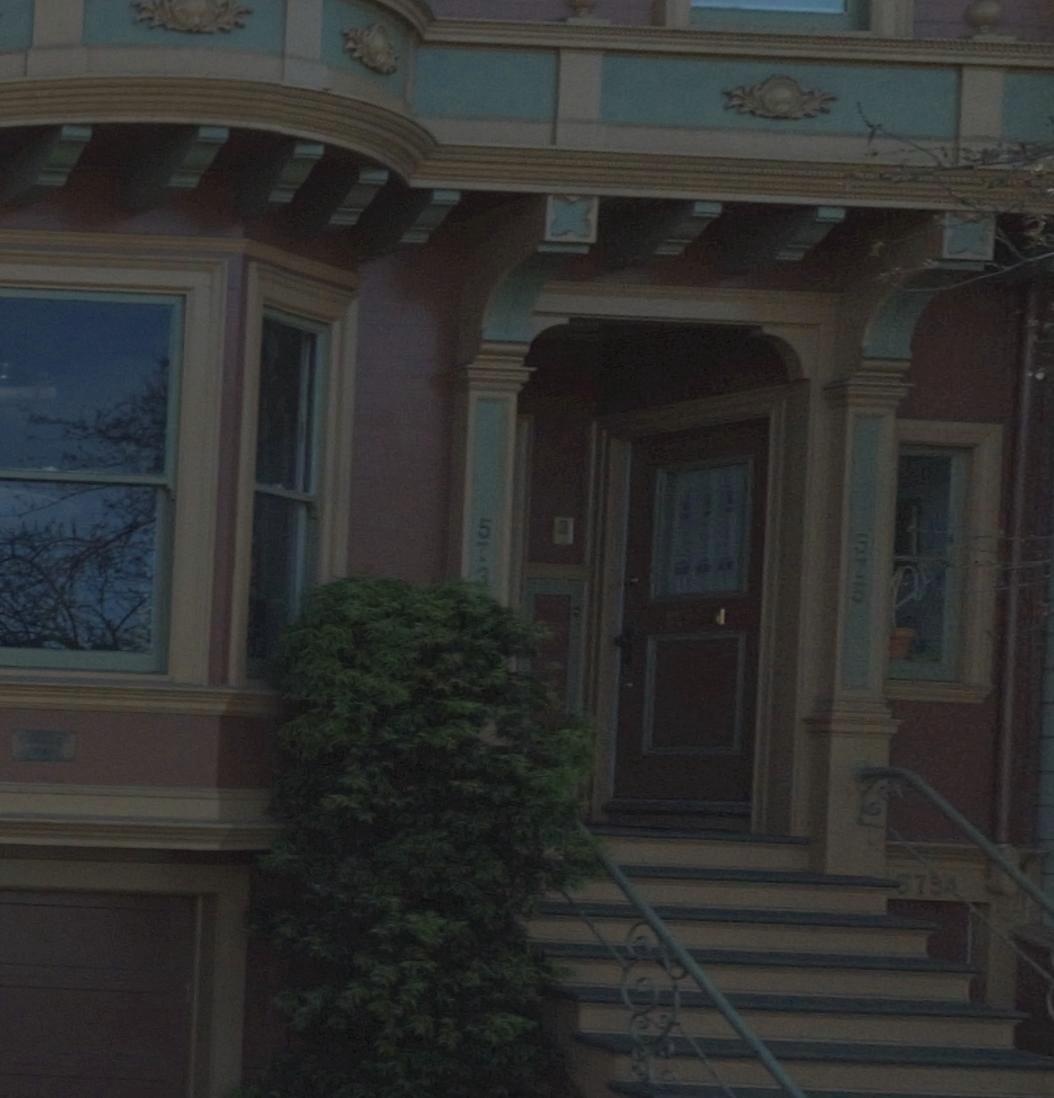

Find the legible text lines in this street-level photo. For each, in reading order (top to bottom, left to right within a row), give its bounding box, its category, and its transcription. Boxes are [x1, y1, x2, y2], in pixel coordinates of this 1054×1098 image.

[475, 517, 493, 587] StreetNumber: 573
[849, 531, 872, 604] StreetNumber: 575